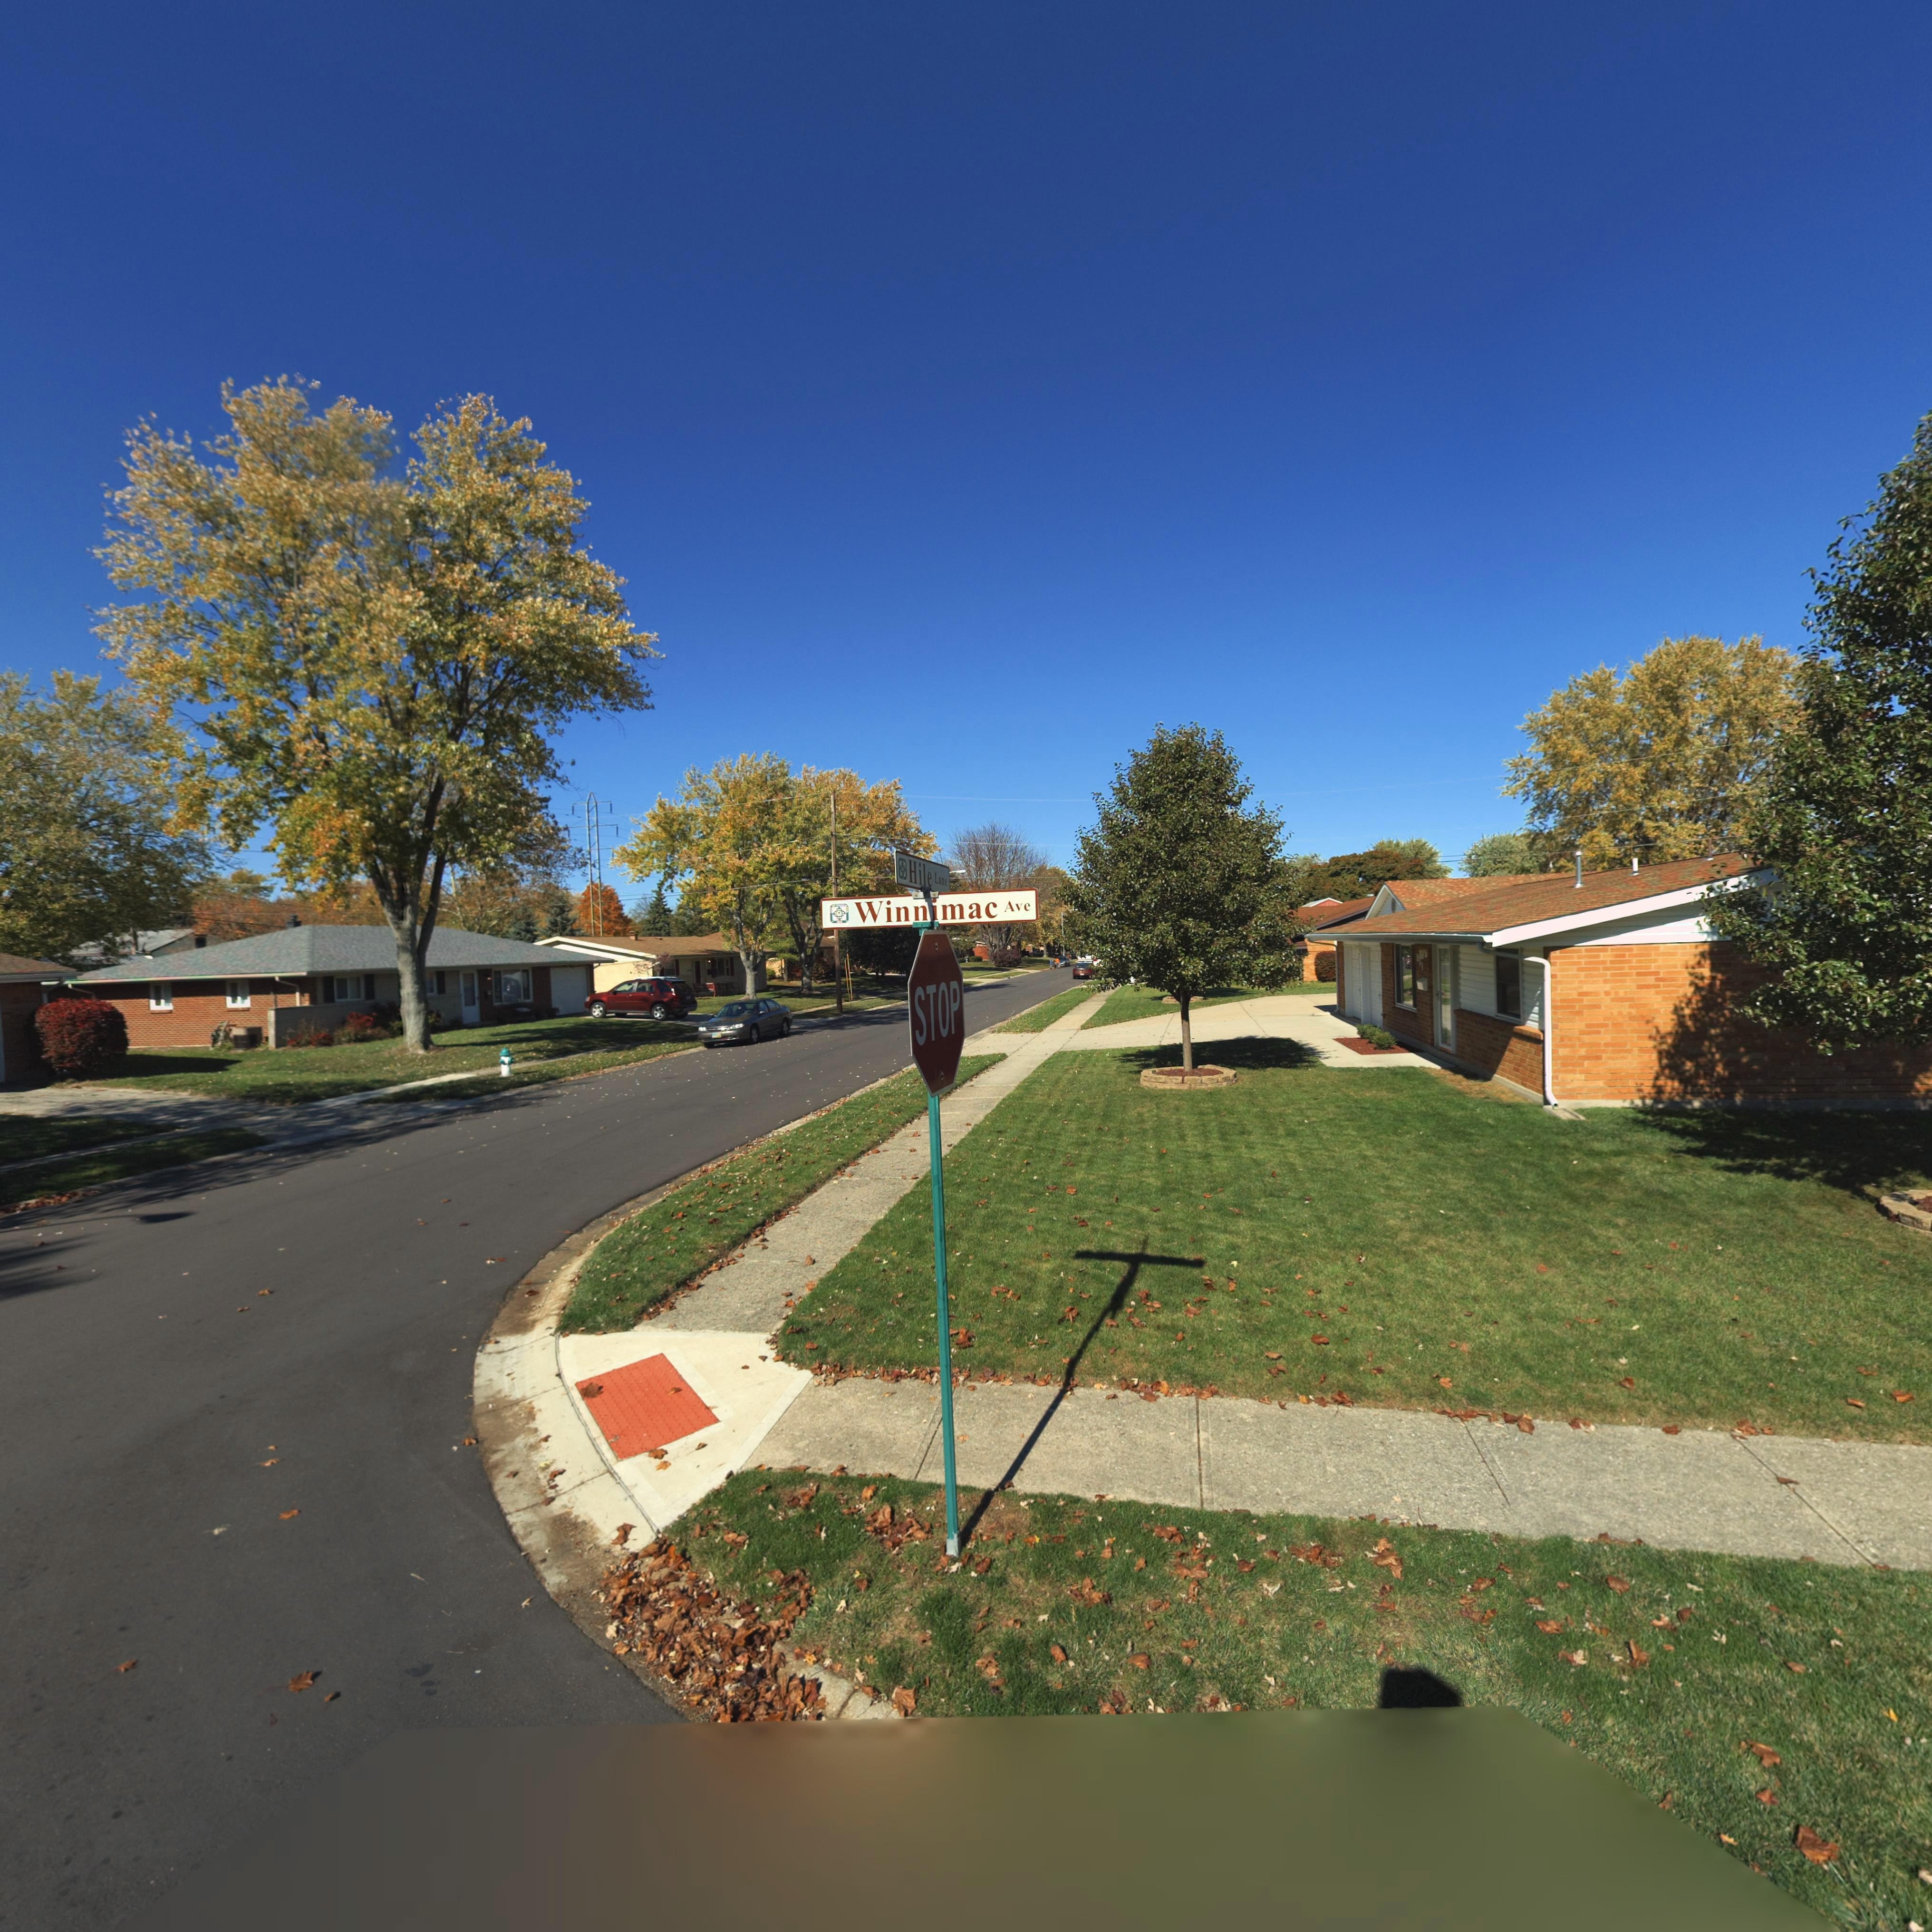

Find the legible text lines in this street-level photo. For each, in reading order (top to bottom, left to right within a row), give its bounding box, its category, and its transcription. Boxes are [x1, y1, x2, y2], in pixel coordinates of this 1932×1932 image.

[1415, 953, 1424, 971] StreetNumber: 911